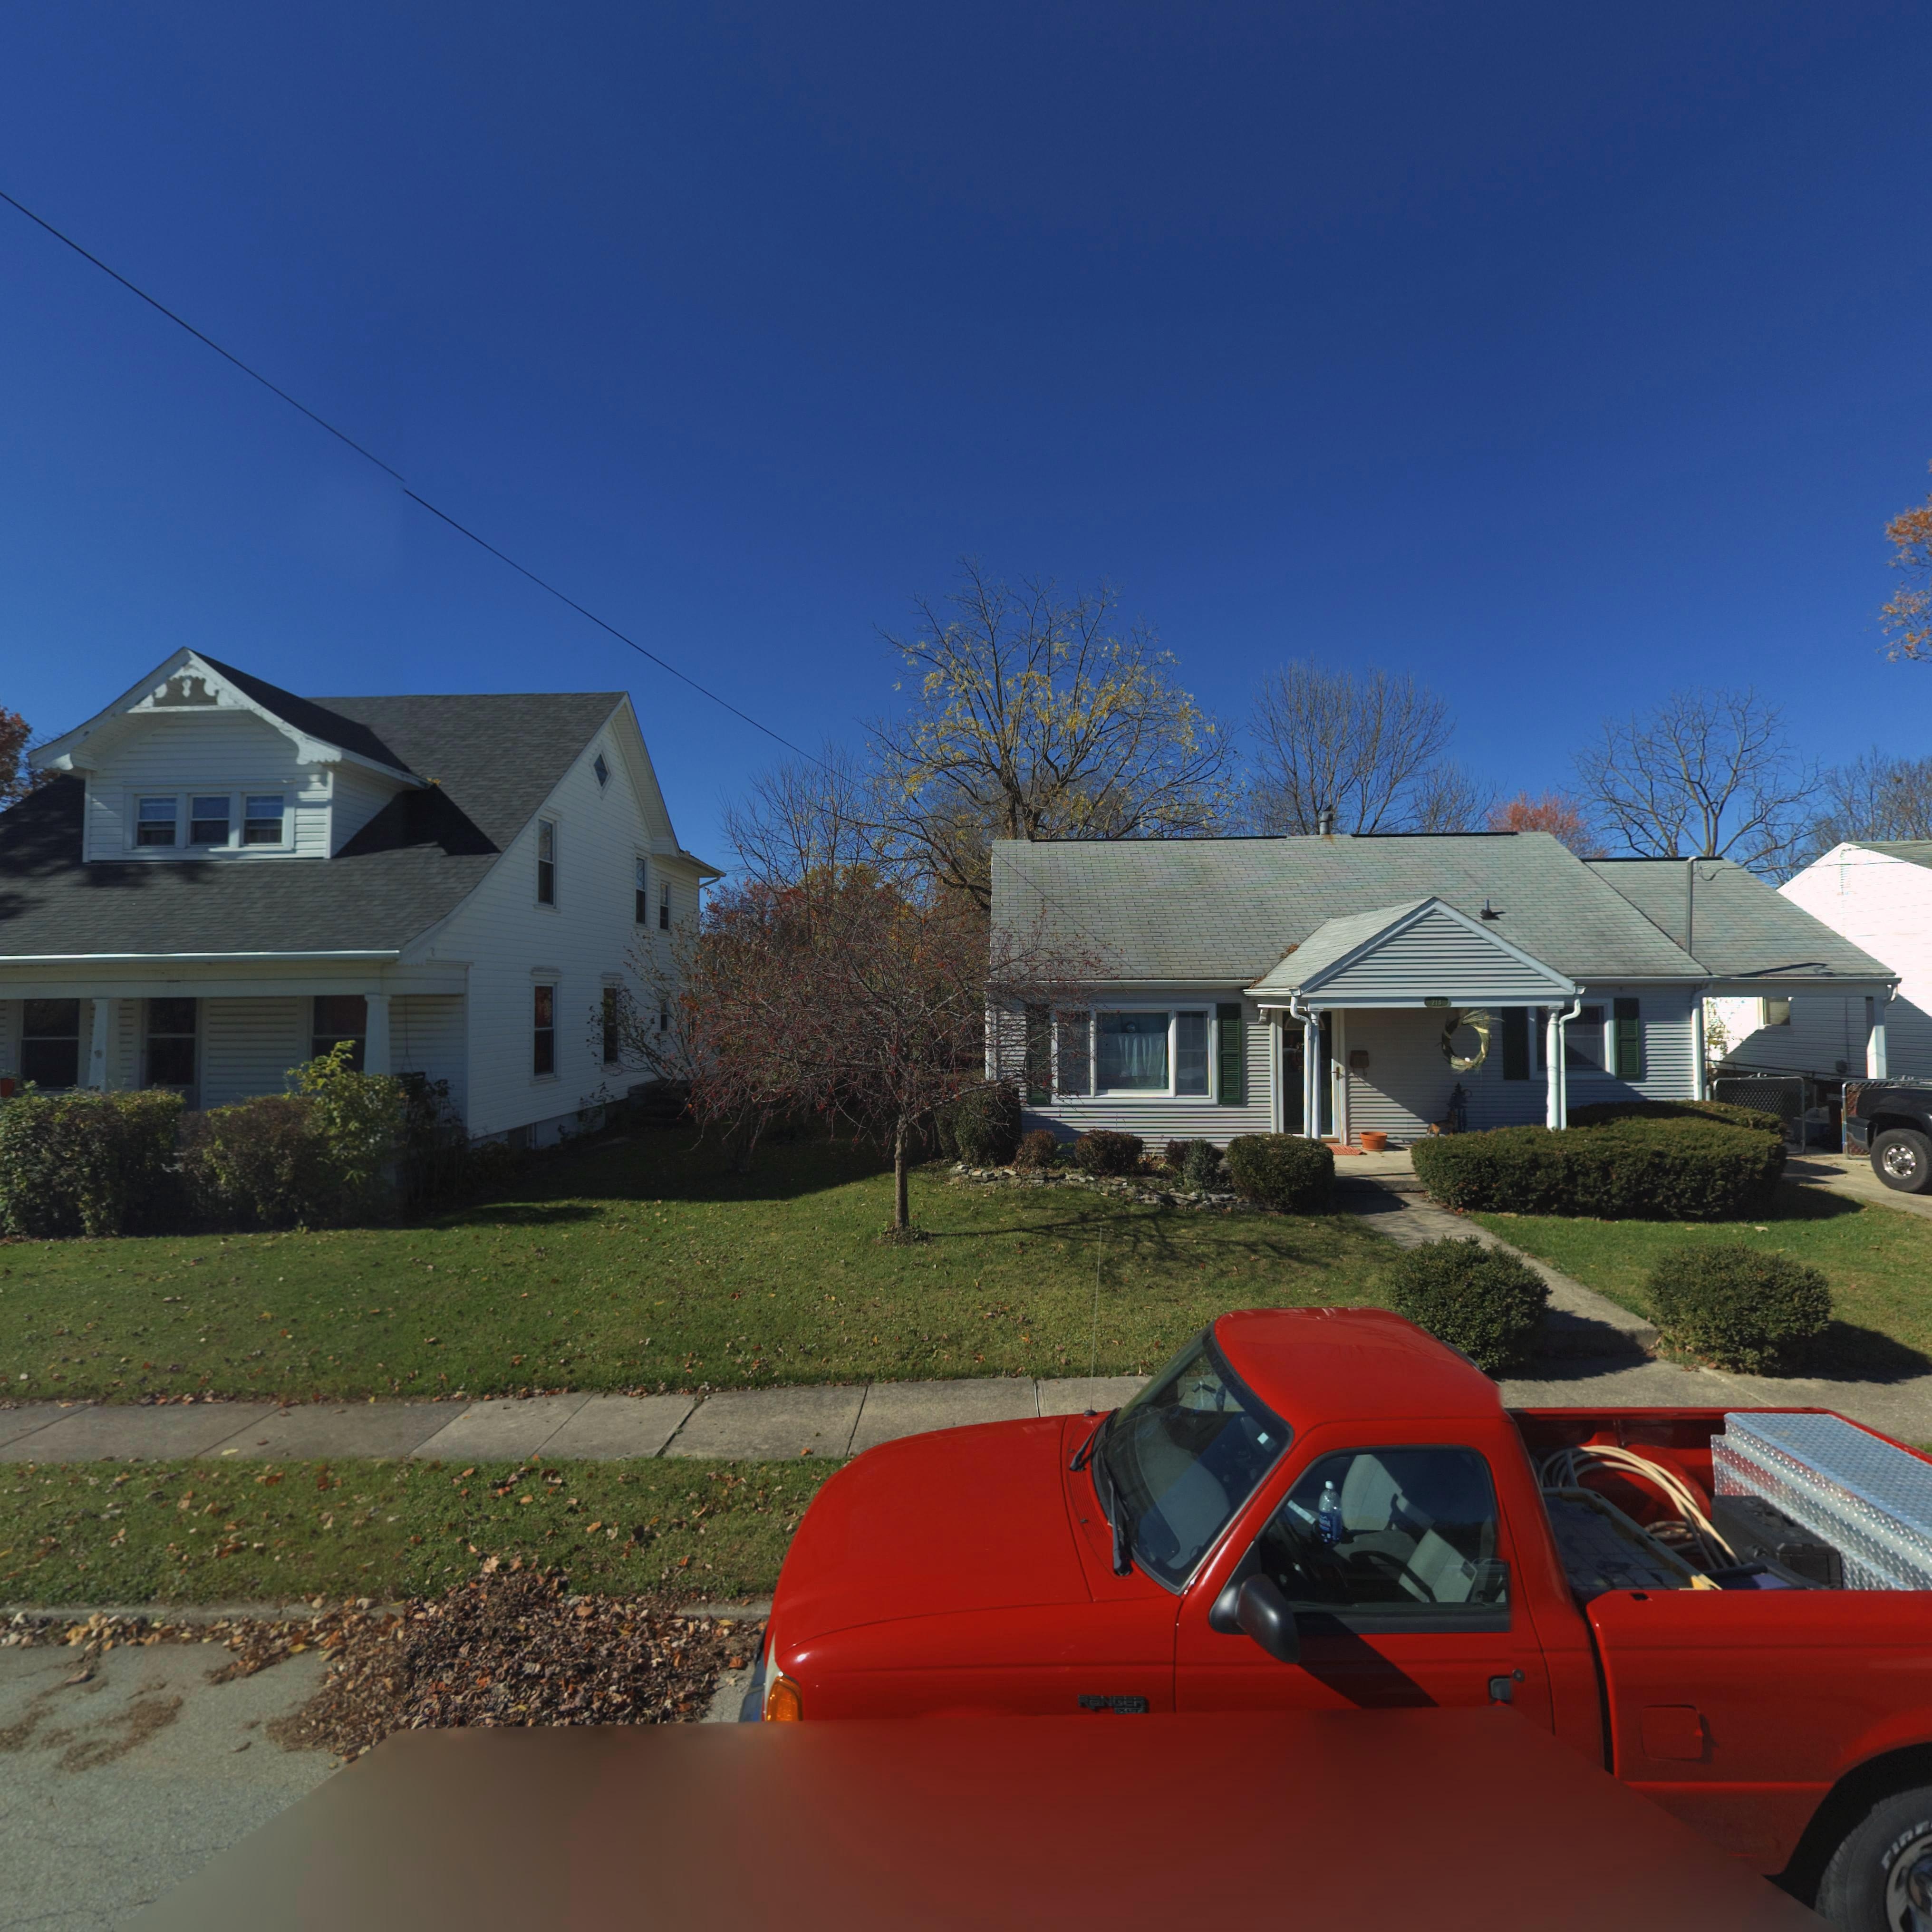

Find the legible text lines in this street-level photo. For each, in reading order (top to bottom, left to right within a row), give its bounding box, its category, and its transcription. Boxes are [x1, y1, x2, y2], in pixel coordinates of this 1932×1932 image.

[1431, 999, 1442, 1005] StreetNumber: 213
[1076, 1694, 1146, 1707] None: RaNGER
[1117, 1707, 1140, 1713] None: XLT